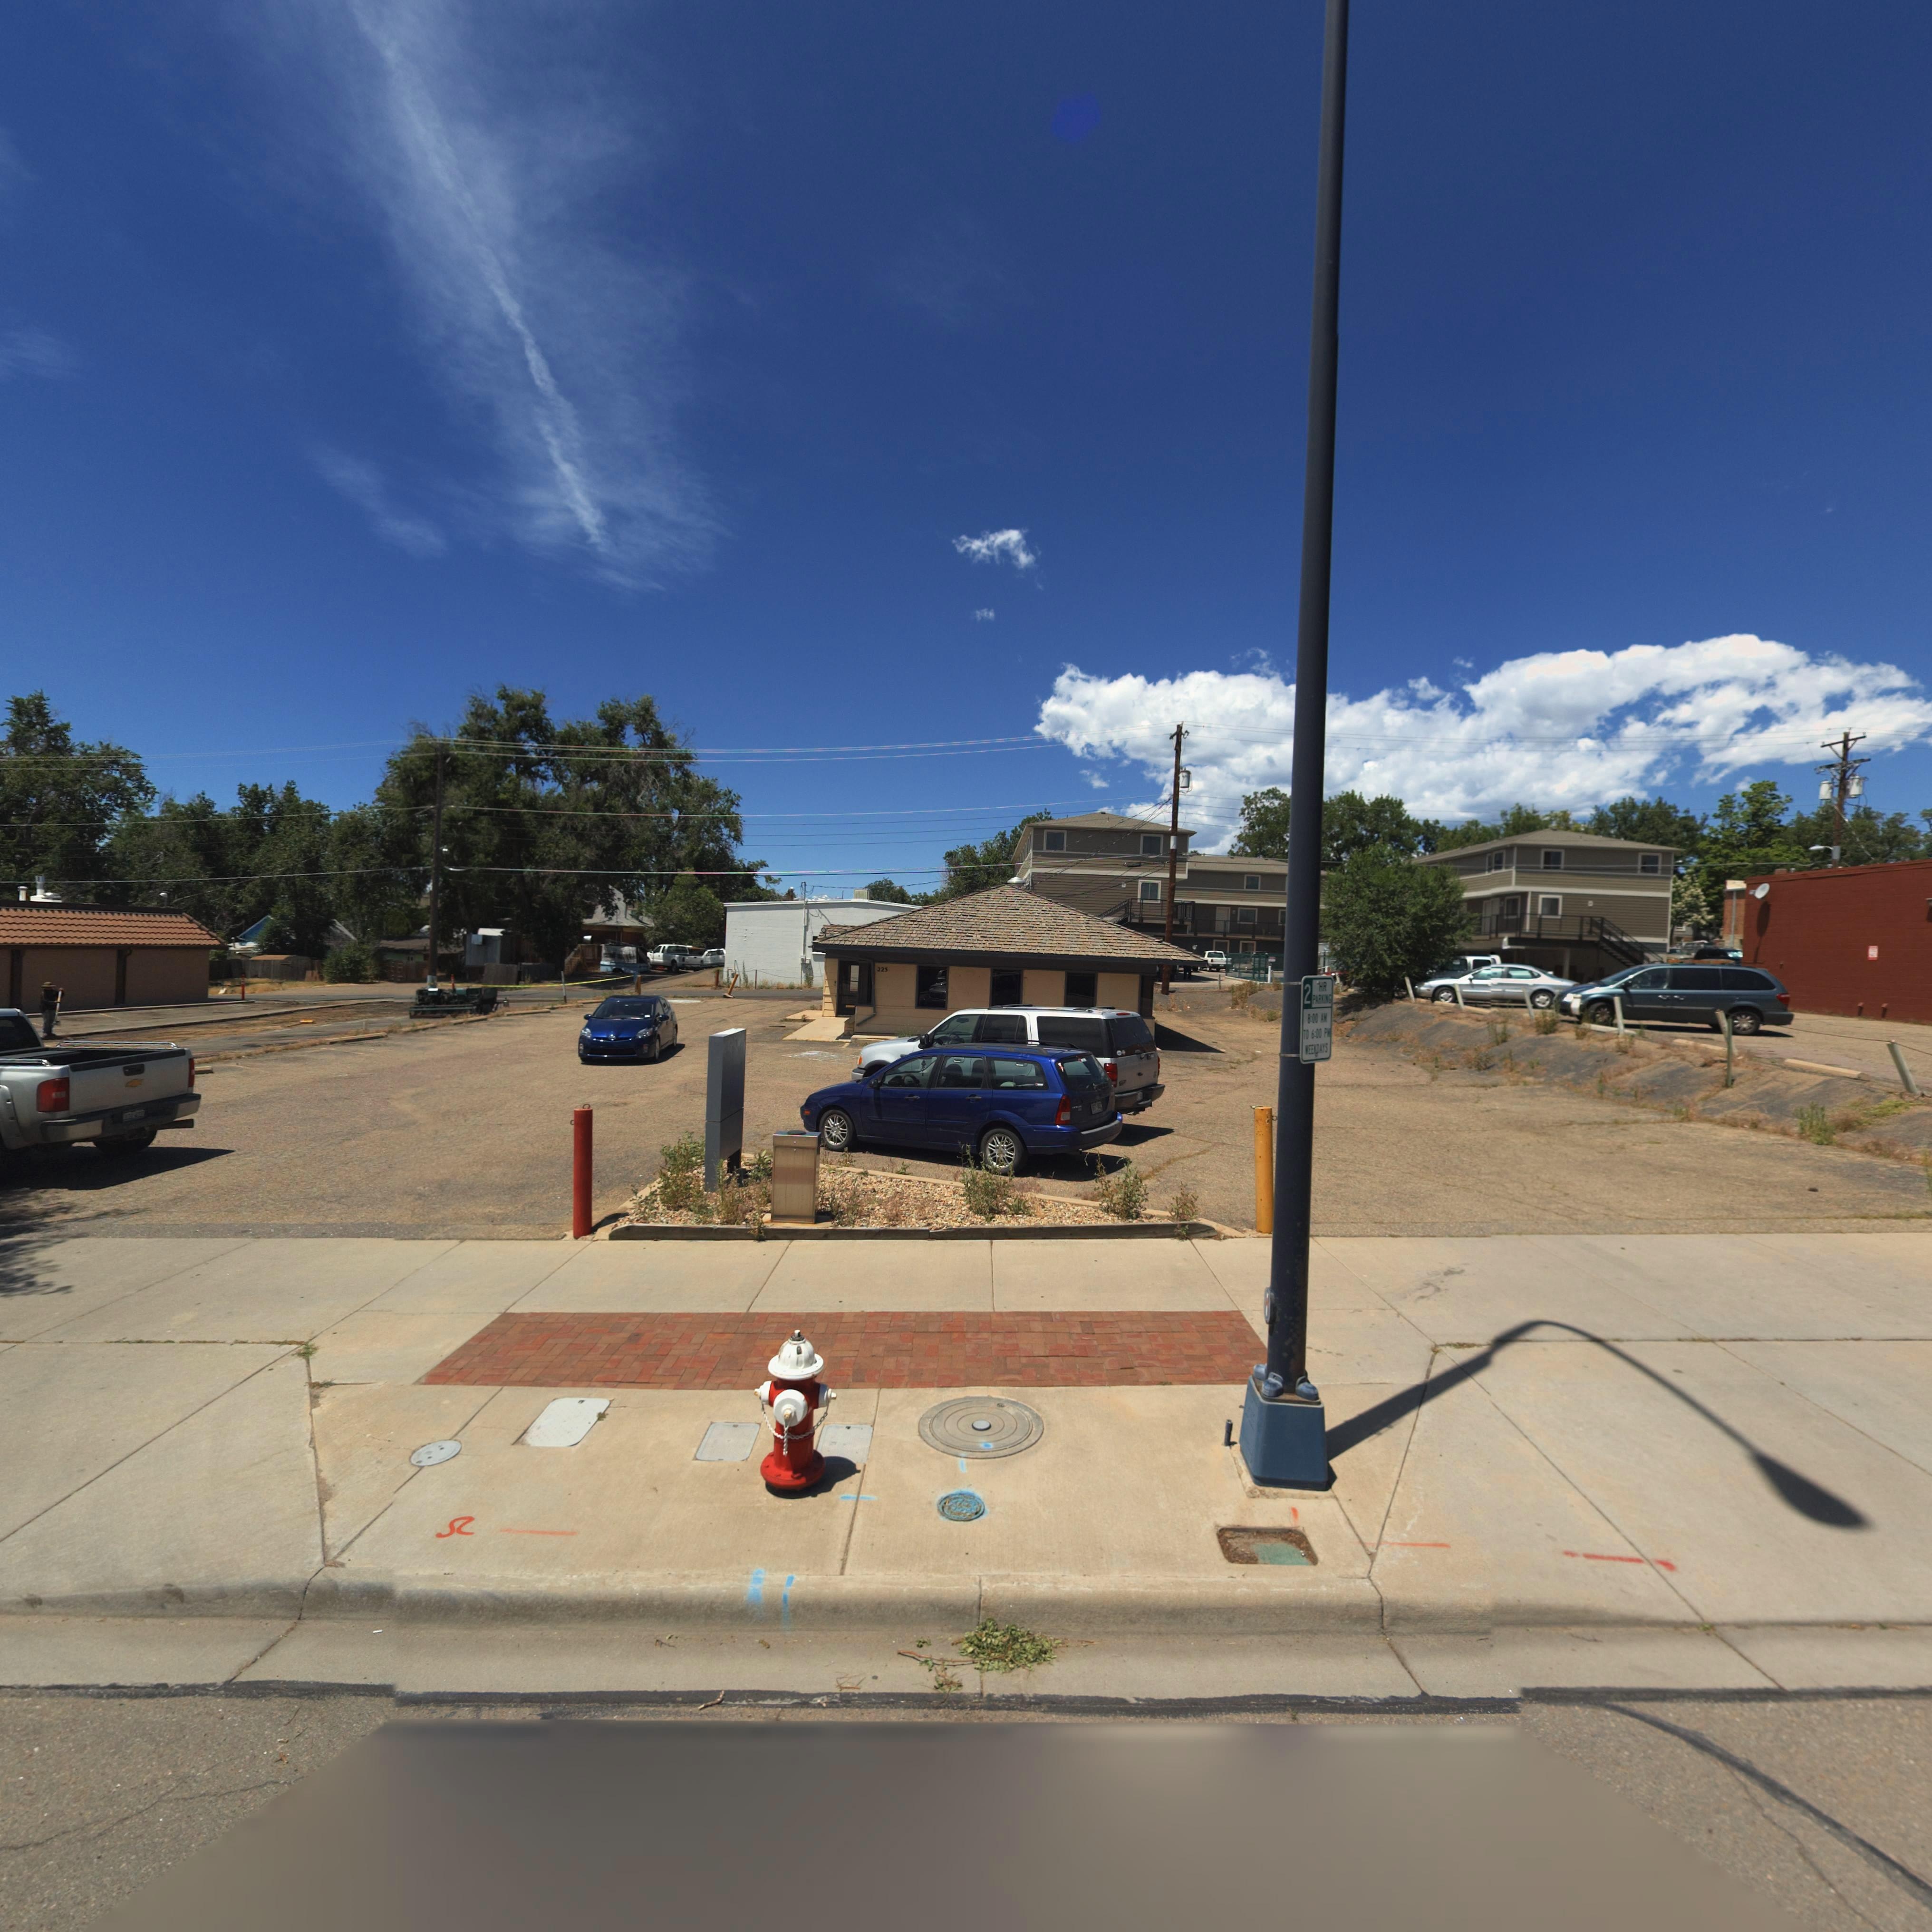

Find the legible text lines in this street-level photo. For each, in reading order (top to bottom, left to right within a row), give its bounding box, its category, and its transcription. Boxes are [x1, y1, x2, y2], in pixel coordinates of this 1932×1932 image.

[877, 966, 888, 973] StreetNumber: 225